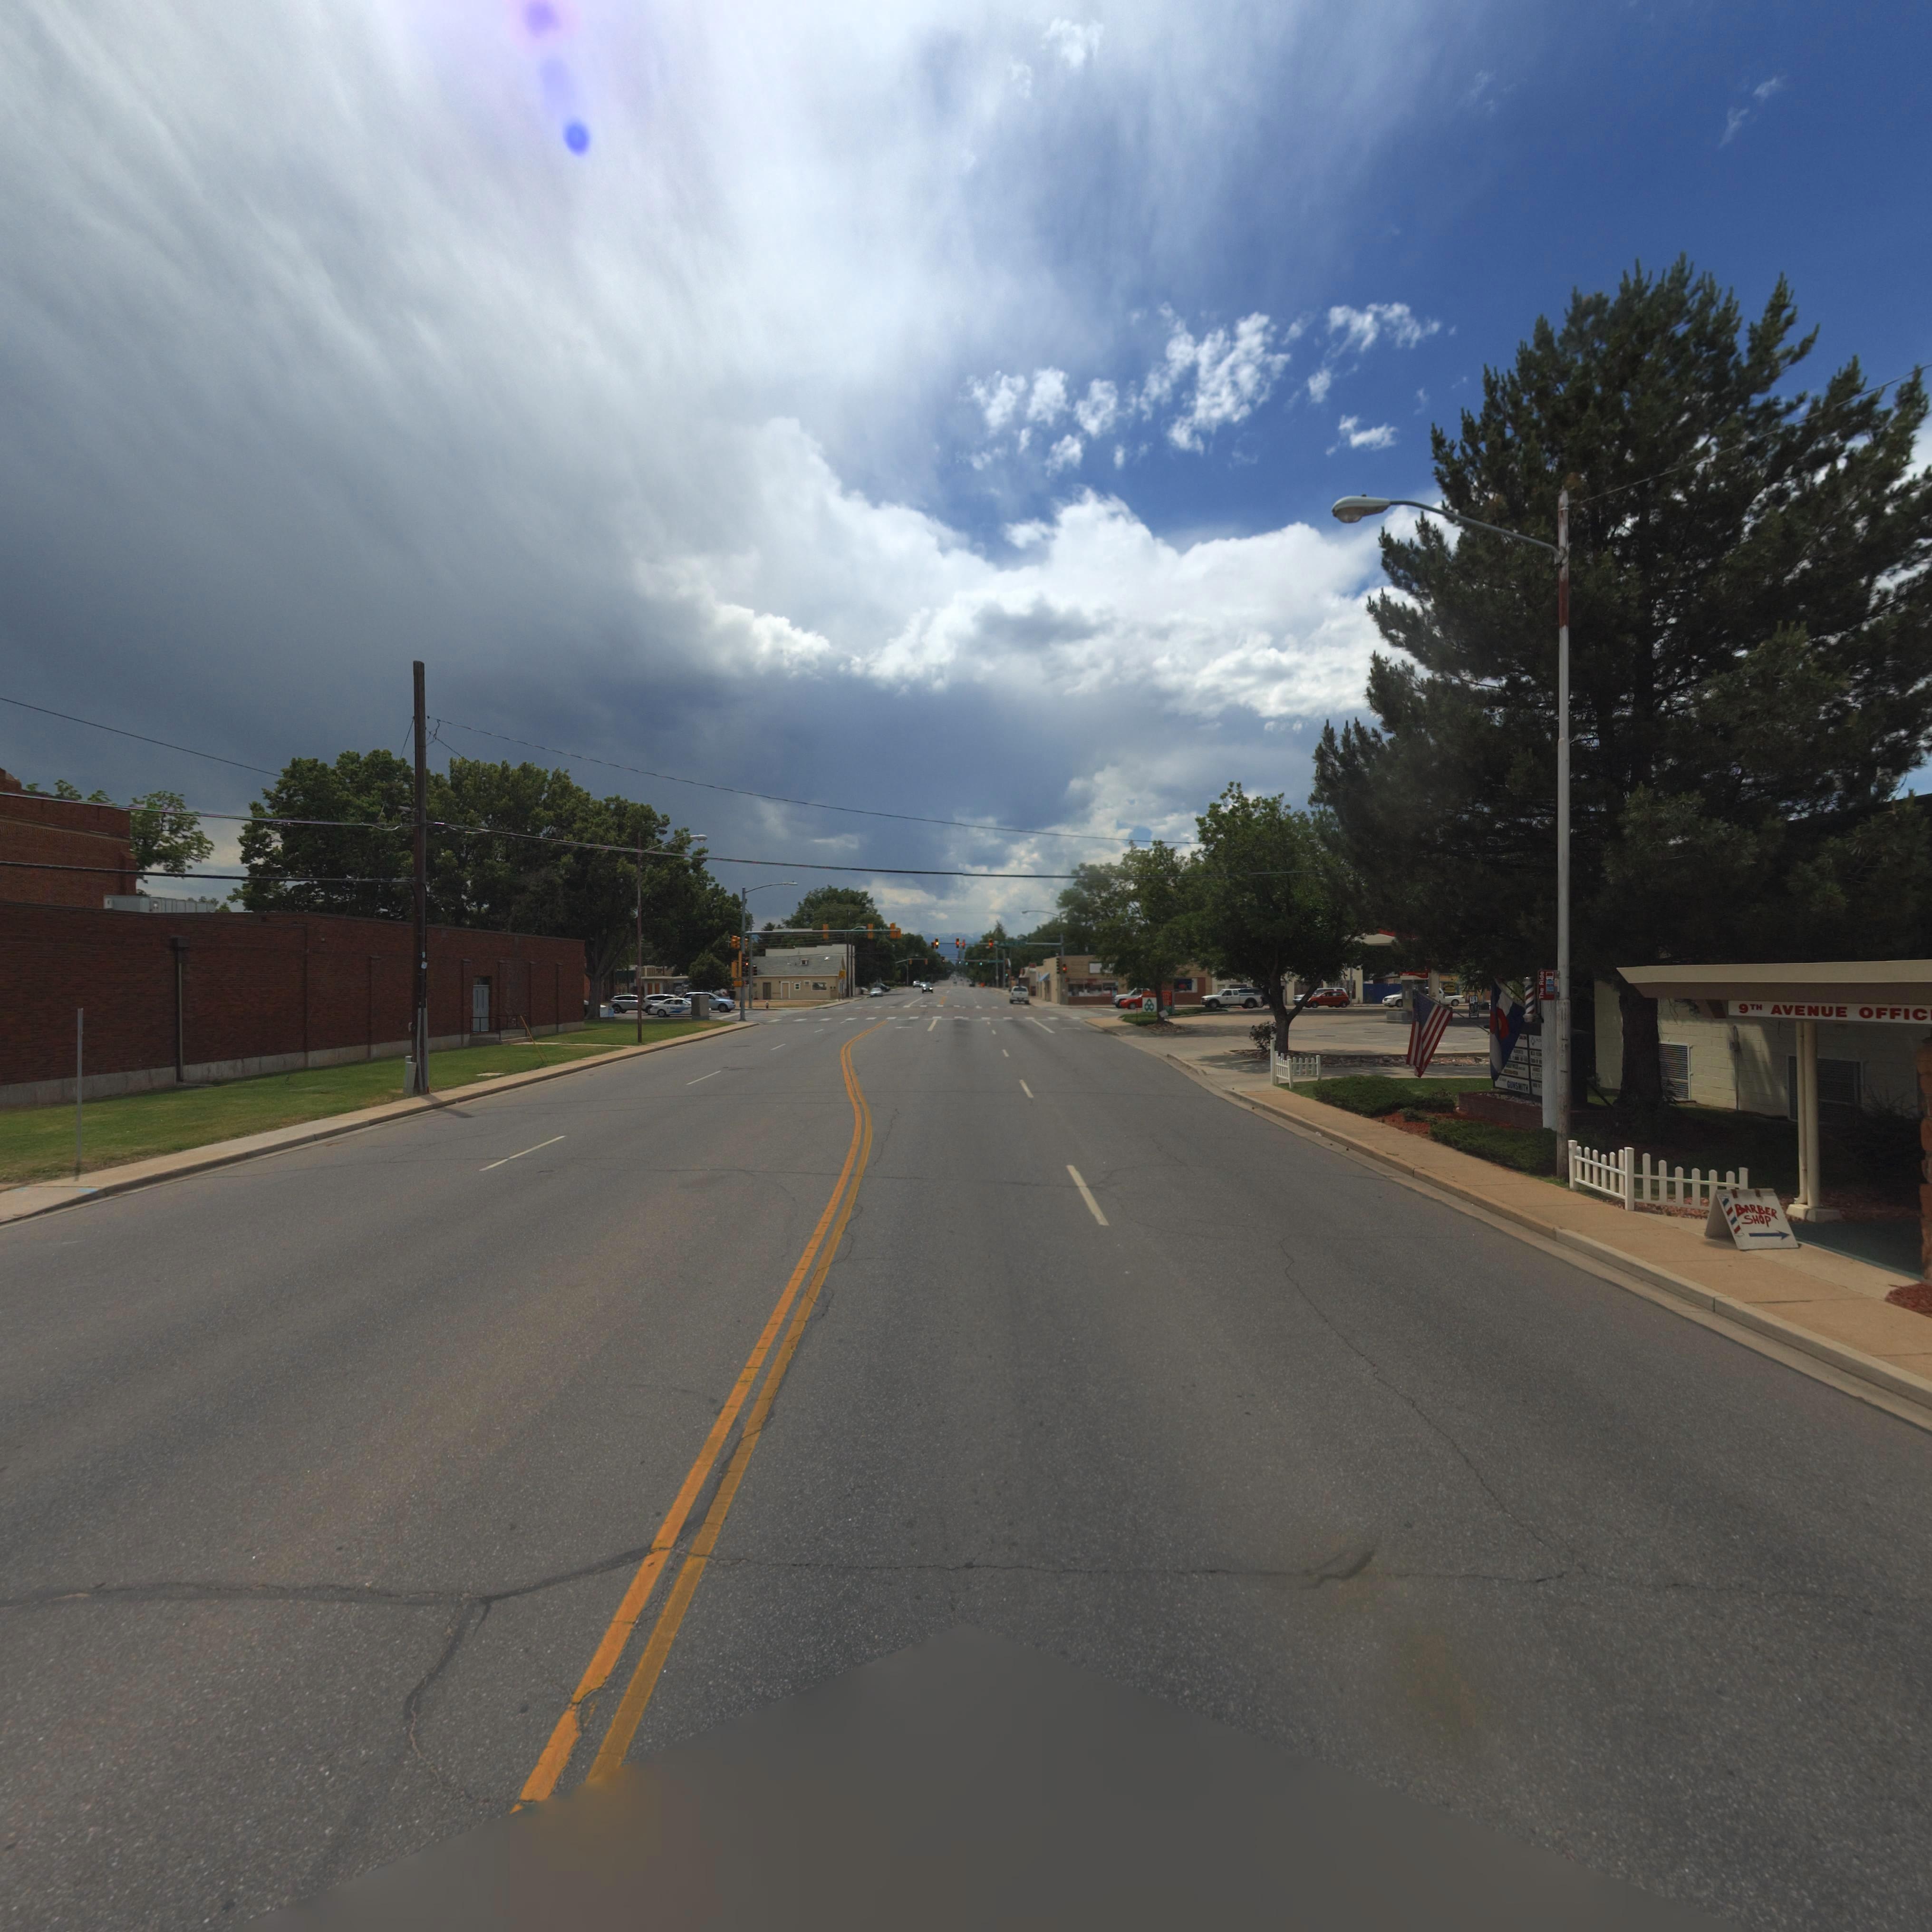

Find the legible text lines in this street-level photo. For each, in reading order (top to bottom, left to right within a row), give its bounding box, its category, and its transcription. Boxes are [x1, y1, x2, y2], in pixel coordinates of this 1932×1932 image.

[1738, 1003, 1847, 1018] StreetName: 9TH AVENUE
[1506, 1080, 1528, 1093] BusinessName: GUNSMITH